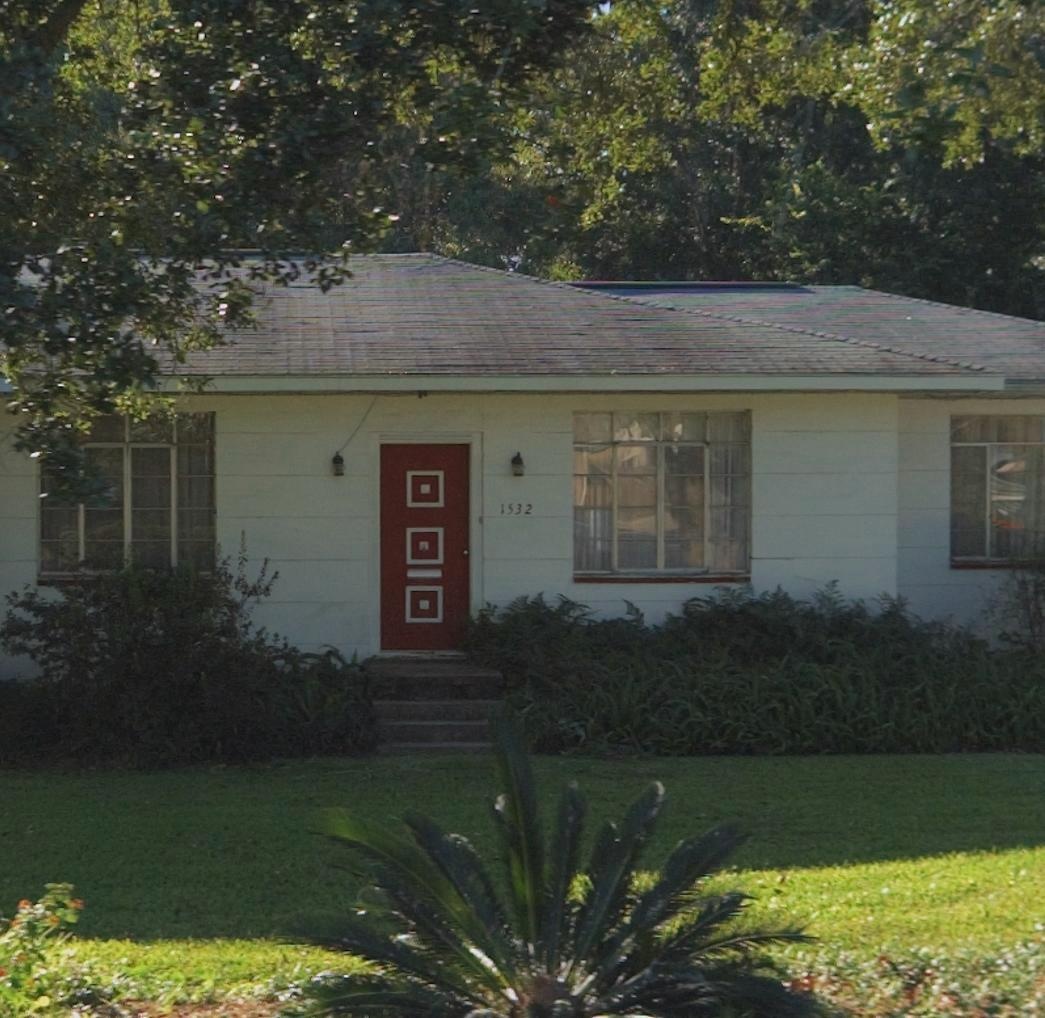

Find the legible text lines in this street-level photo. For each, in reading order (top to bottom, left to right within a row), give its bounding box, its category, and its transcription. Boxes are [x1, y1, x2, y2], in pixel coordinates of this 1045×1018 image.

[499, 502, 533, 516] StreetNumber: 1532